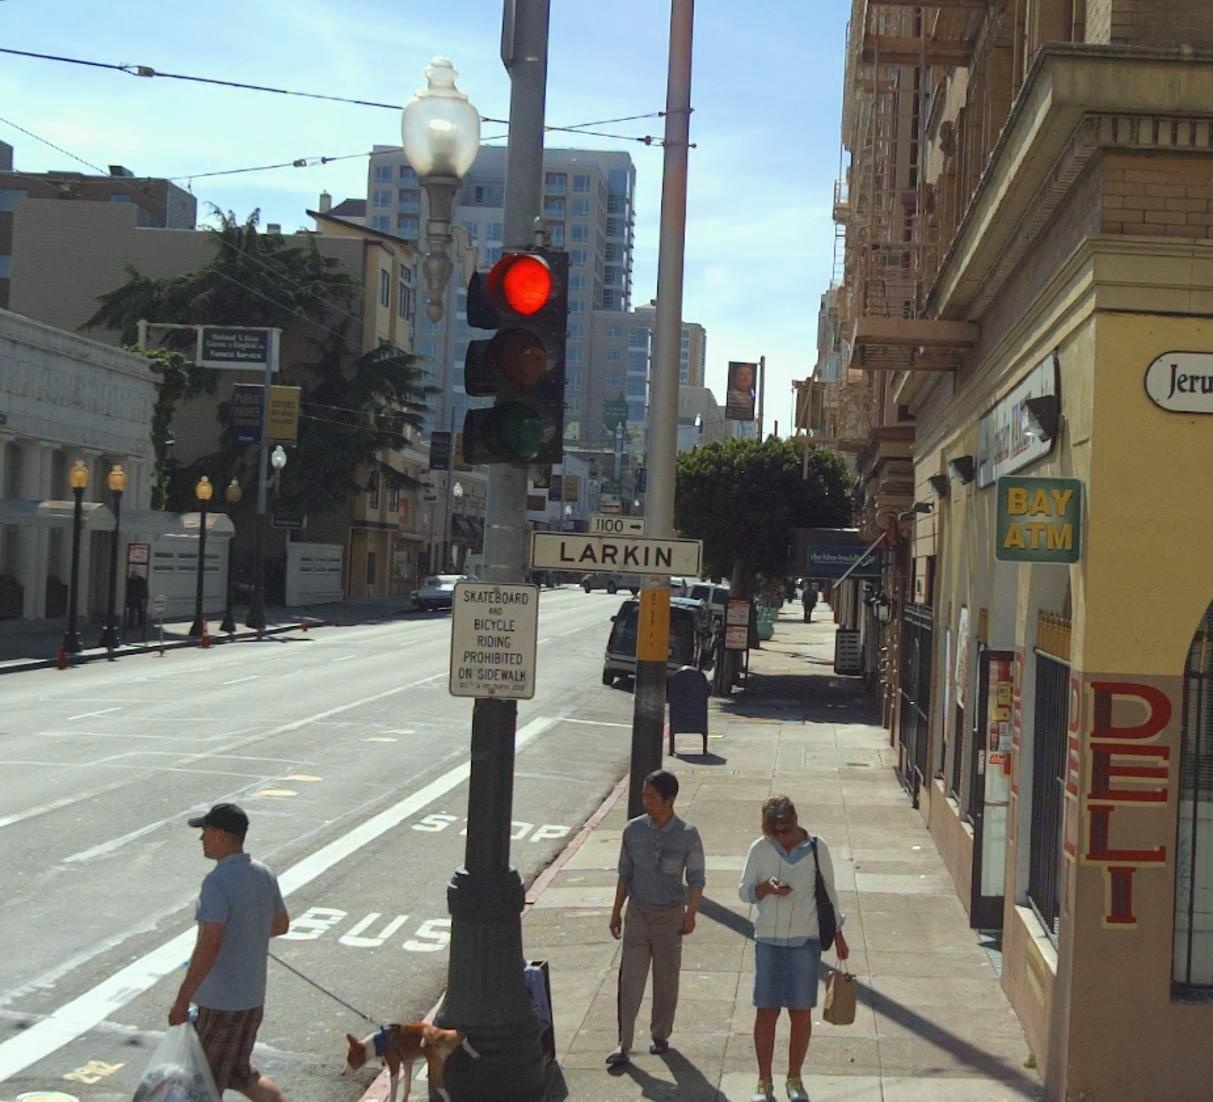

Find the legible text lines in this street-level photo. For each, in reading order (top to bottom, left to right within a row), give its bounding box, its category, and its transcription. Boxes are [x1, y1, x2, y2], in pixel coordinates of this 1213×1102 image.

[1164, 361, 1213, 403] BusinessName: Jeru
[1005, 485, 1076, 519] None: BAY
[593, 516, 645, 536] StreetNumber: 1100->
[1000, 520, 1074, 552] None: ATM
[556, 538, 676, 571] StreetName: LARKIN > [1100]
[460, 587, 532, 608] None: SKATEBOARD
[461, 648, 525, 667] None: PROHIBITED
[474, 632, 514, 651] None: RIDING
[471, 615, 518, 635] None: BICYCLE
[456, 665, 529, 684] None: ON SIDEWALK
[1006, 648, 1026, 848] None: DELI
[1060, 672, 1083, 921] None: DELI
[1082, 679, 1175, 927] None: DELI
[404, 808, 576, 848] None: S**P
[269, 904, 460, 959] None: BUS
[57, 1057, 128, 1088] None: 29*2